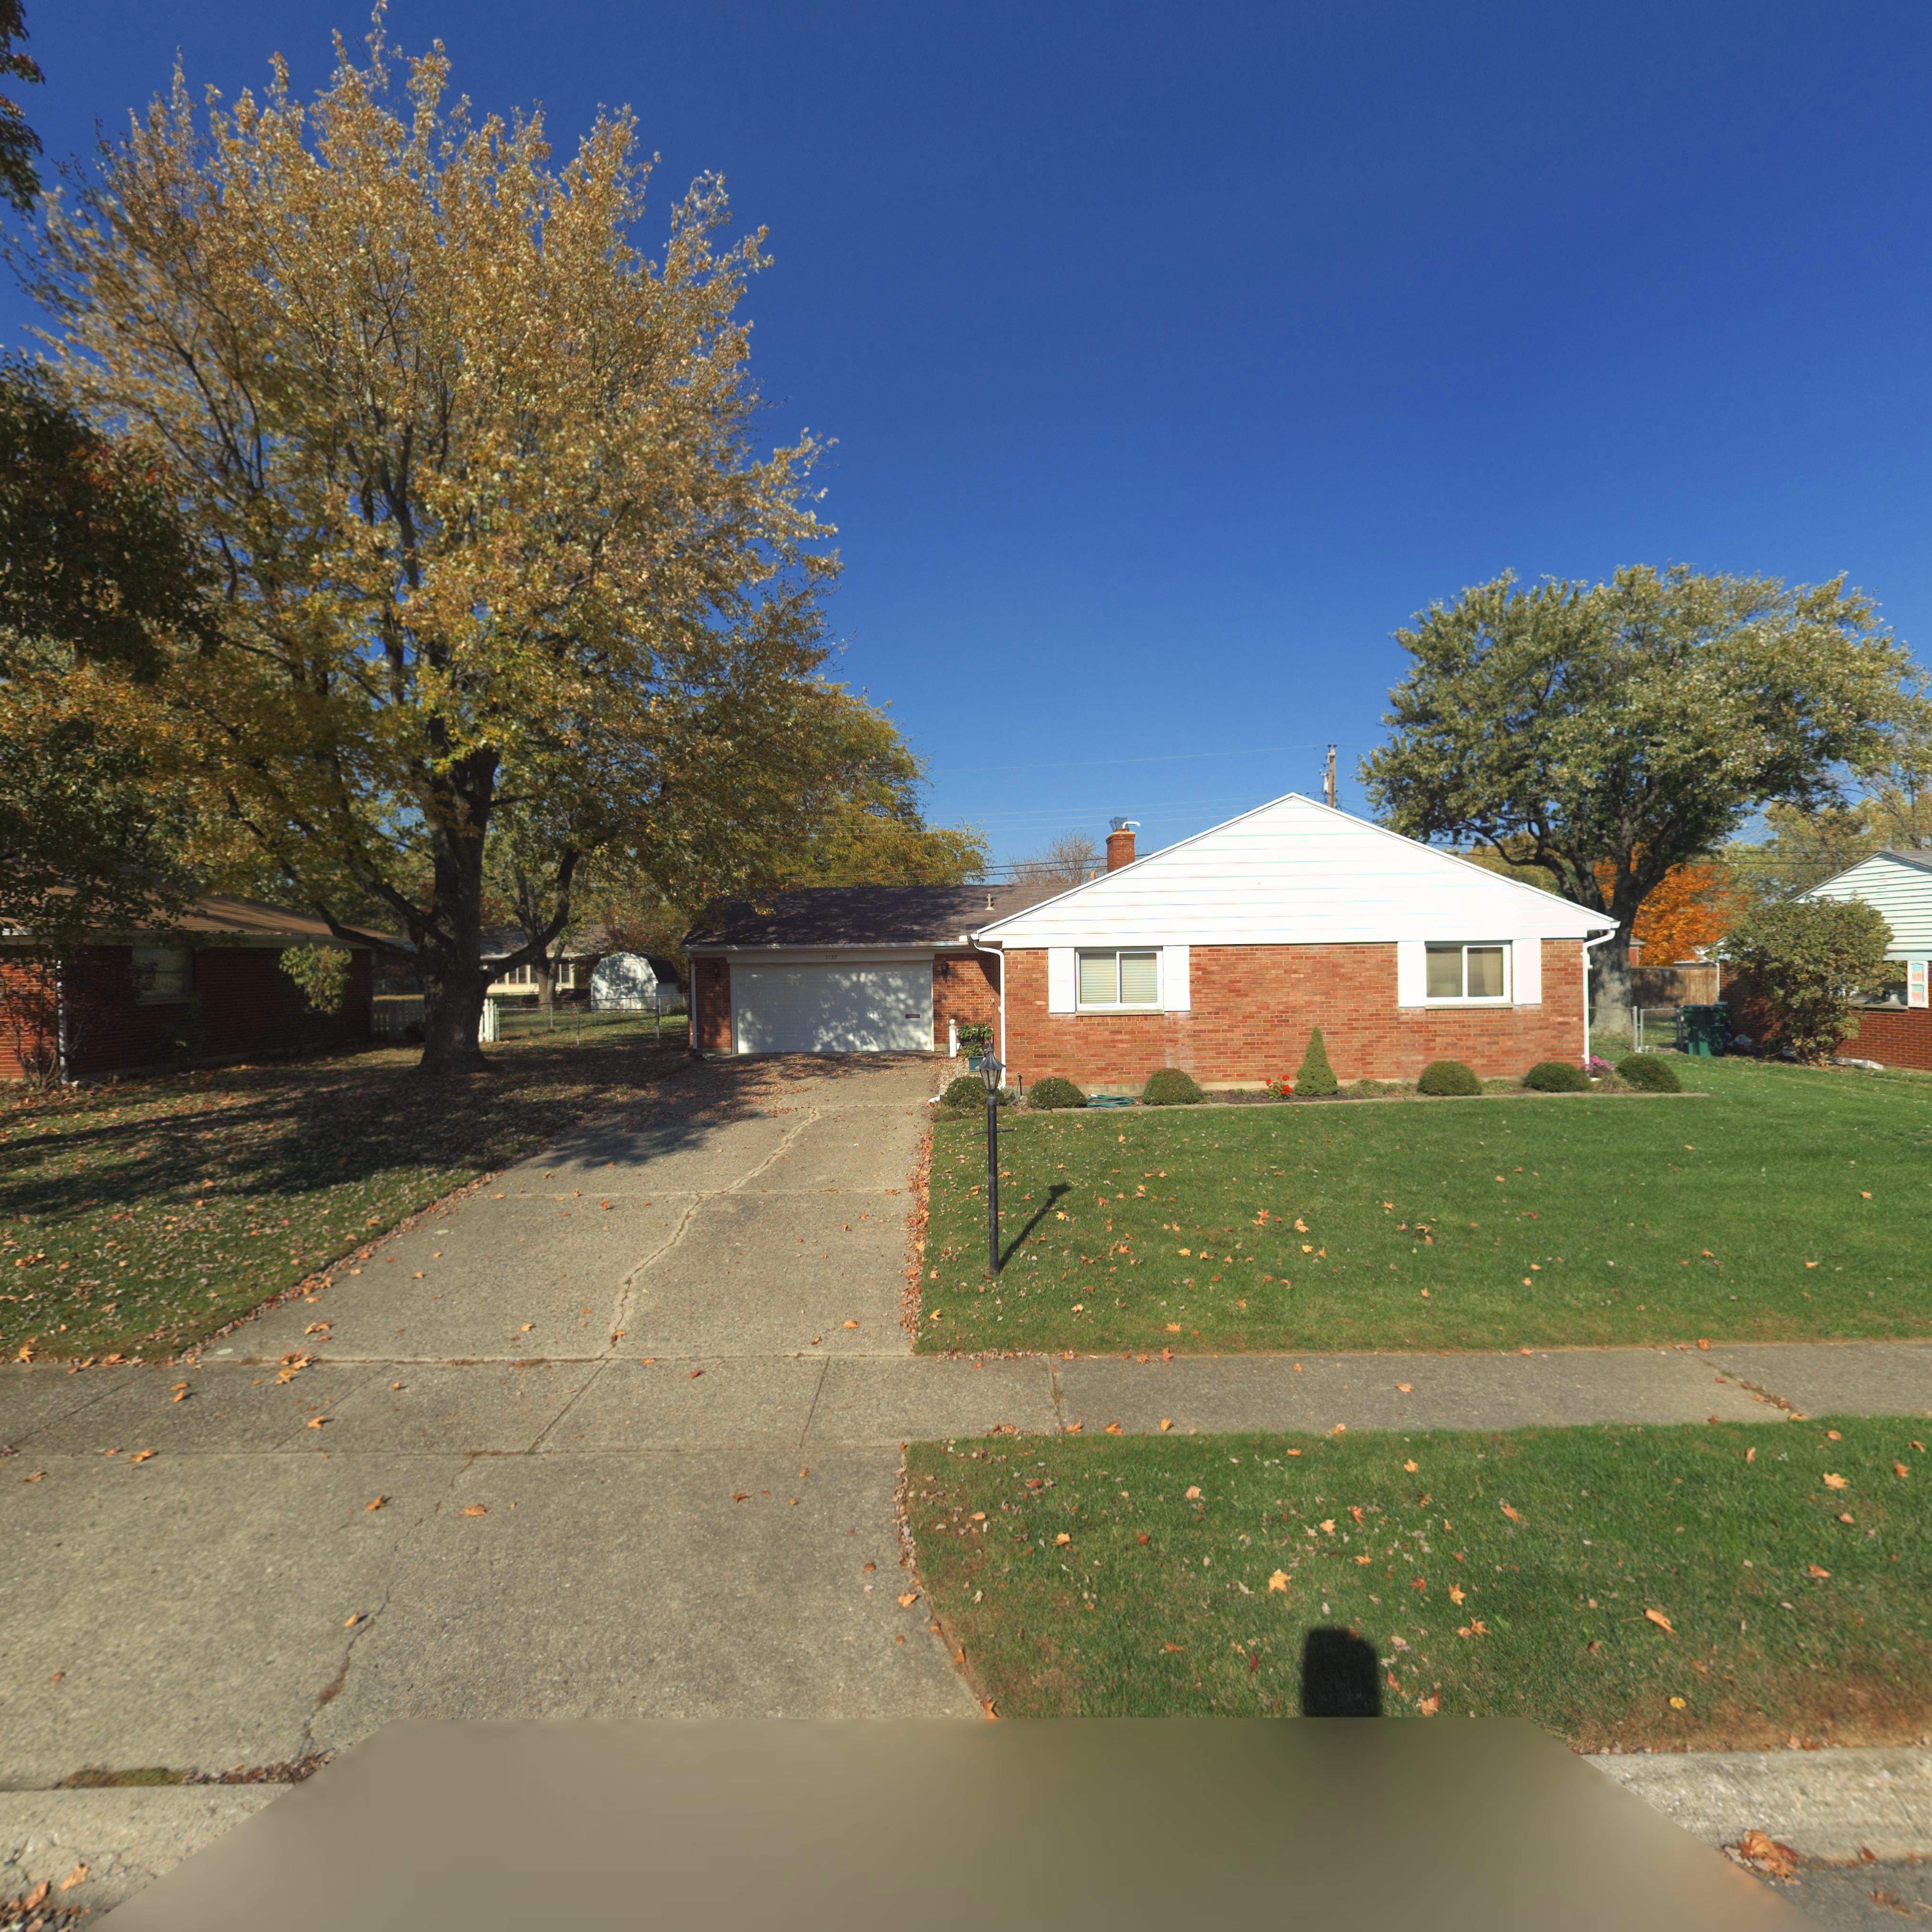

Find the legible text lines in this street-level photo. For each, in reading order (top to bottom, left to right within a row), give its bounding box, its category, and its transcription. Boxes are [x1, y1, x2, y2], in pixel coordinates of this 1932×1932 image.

[824, 953, 839, 961] StreetNumber: 1137